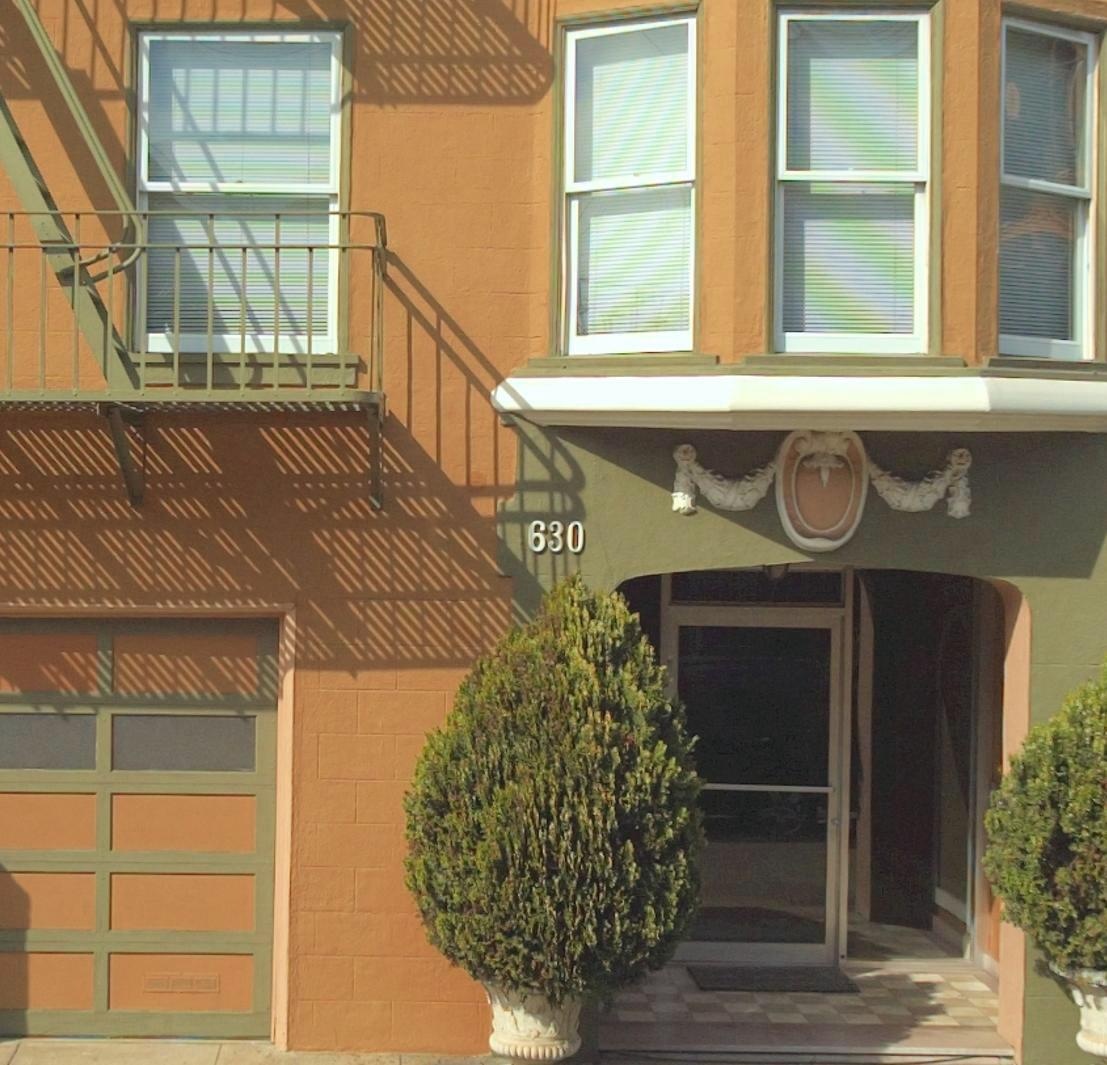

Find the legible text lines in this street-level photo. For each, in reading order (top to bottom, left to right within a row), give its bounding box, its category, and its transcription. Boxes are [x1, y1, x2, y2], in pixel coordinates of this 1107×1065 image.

[527, 518, 586, 556] StreetNumber: 630